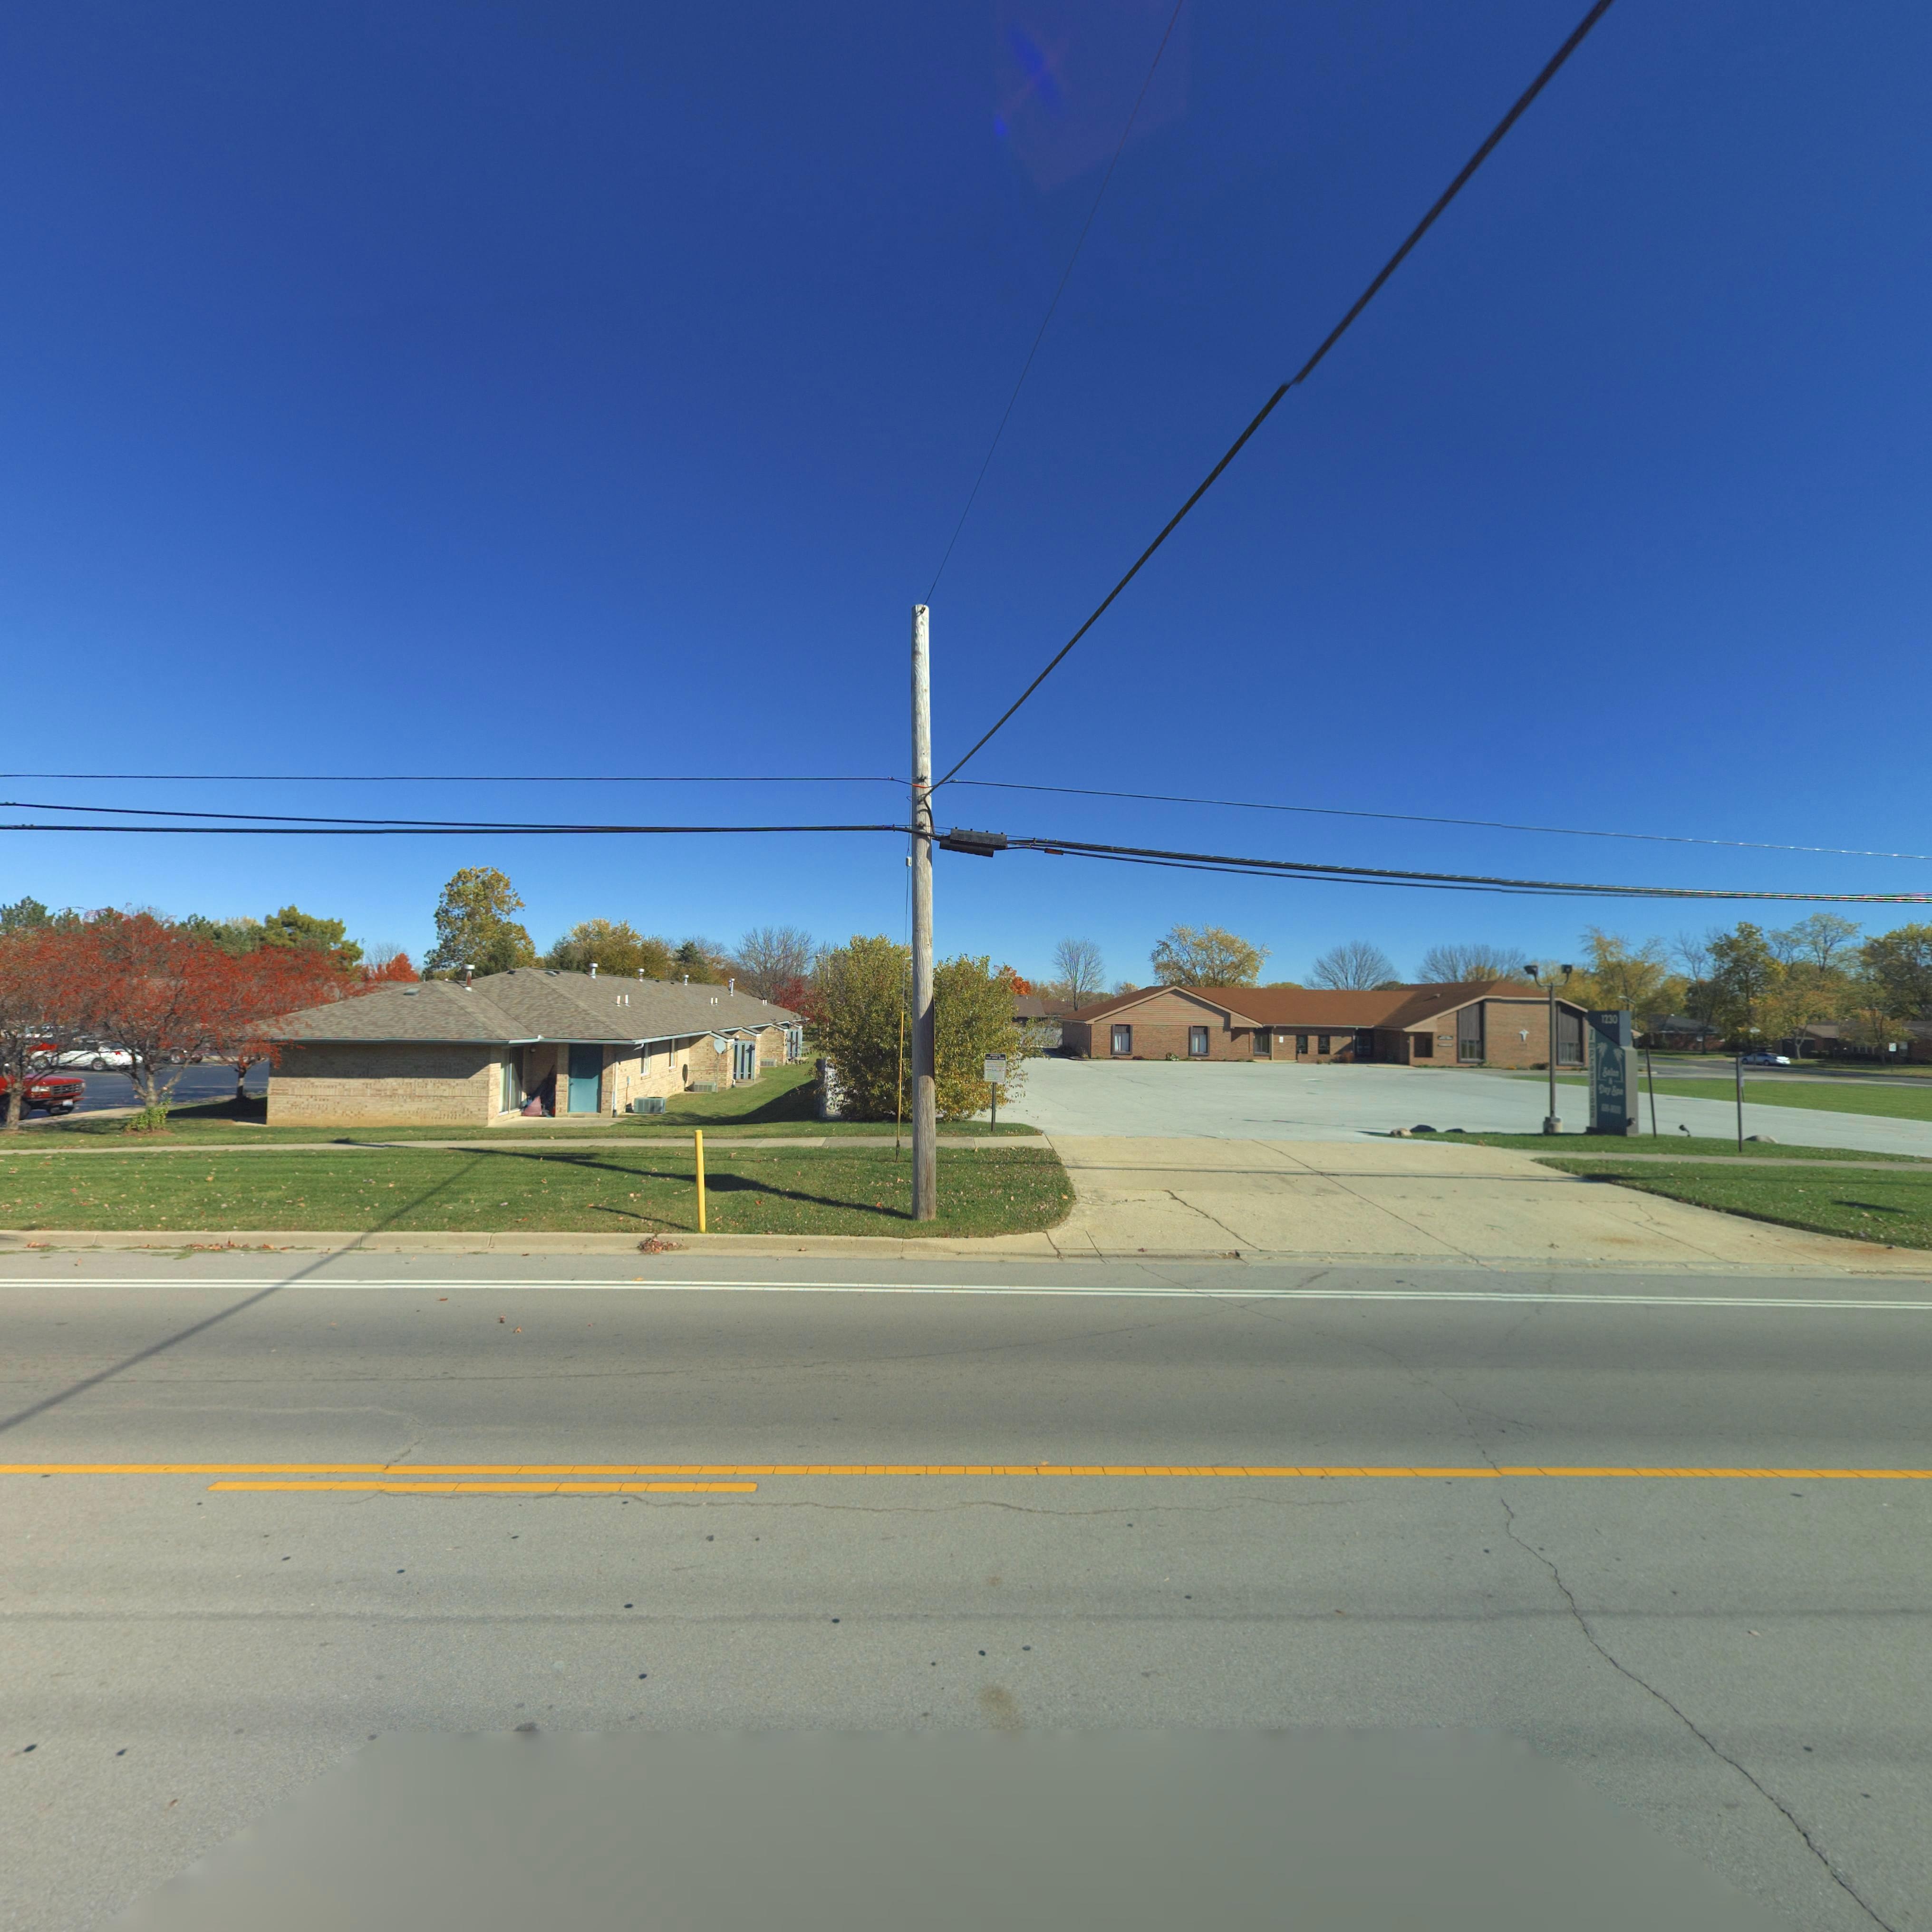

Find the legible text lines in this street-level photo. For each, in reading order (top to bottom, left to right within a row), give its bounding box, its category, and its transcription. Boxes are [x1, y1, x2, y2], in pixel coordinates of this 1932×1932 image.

[1600, 1013, 1619, 1025] StreetNumber: 1230
[1587, 1028, 1596, 1120] BusinessName: Impression*